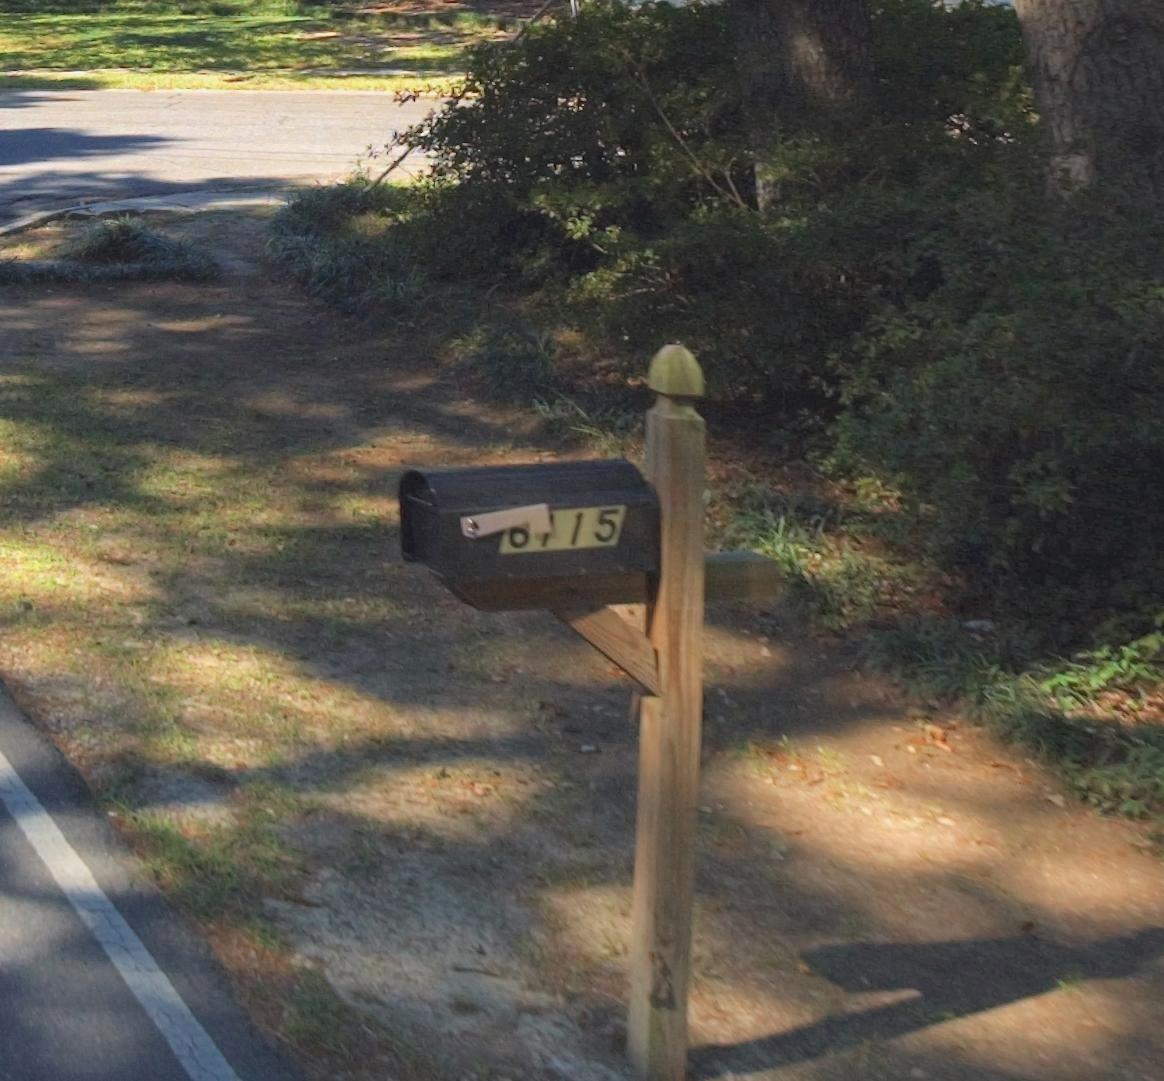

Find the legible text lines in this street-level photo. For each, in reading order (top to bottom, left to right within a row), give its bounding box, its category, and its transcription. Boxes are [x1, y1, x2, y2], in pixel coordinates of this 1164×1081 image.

[502, 503, 627, 554] StreetNumber: **15